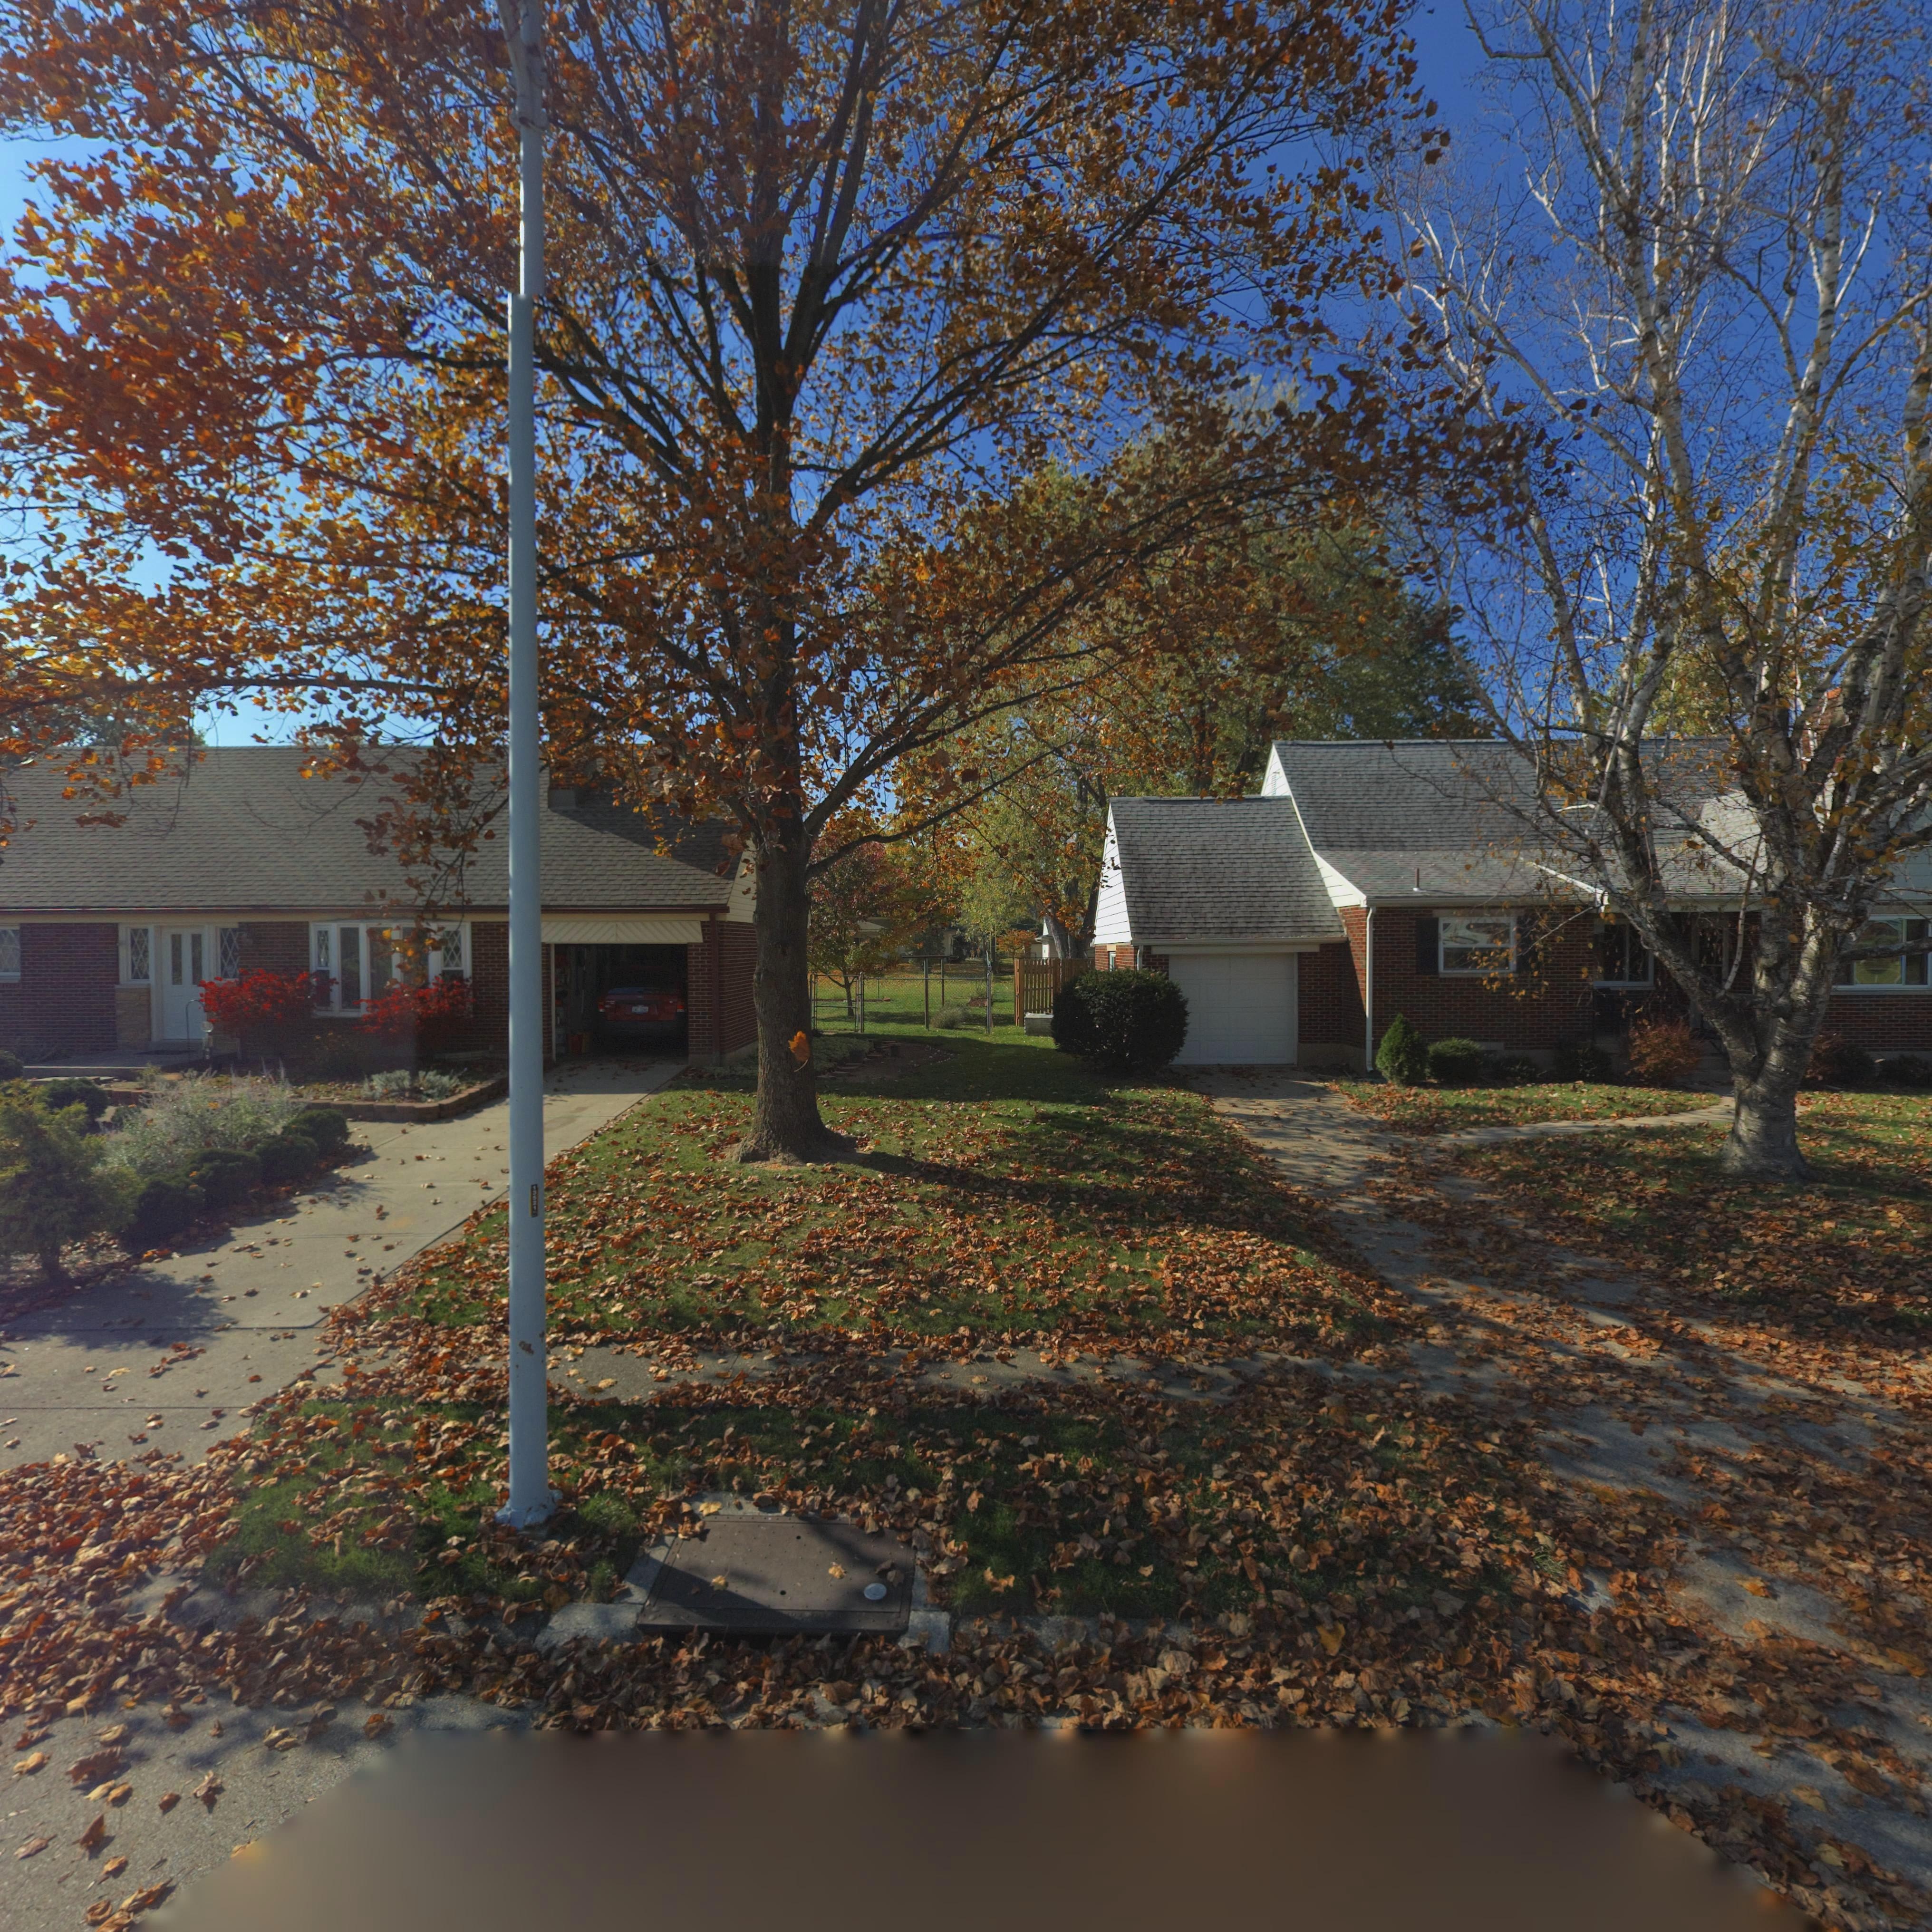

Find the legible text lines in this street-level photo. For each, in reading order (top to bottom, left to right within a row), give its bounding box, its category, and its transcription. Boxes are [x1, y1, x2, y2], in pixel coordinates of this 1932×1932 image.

[1680, 905, 1698, 911] StreetNumber: 38**
[531, 1185, 537, 1211] None: 13521